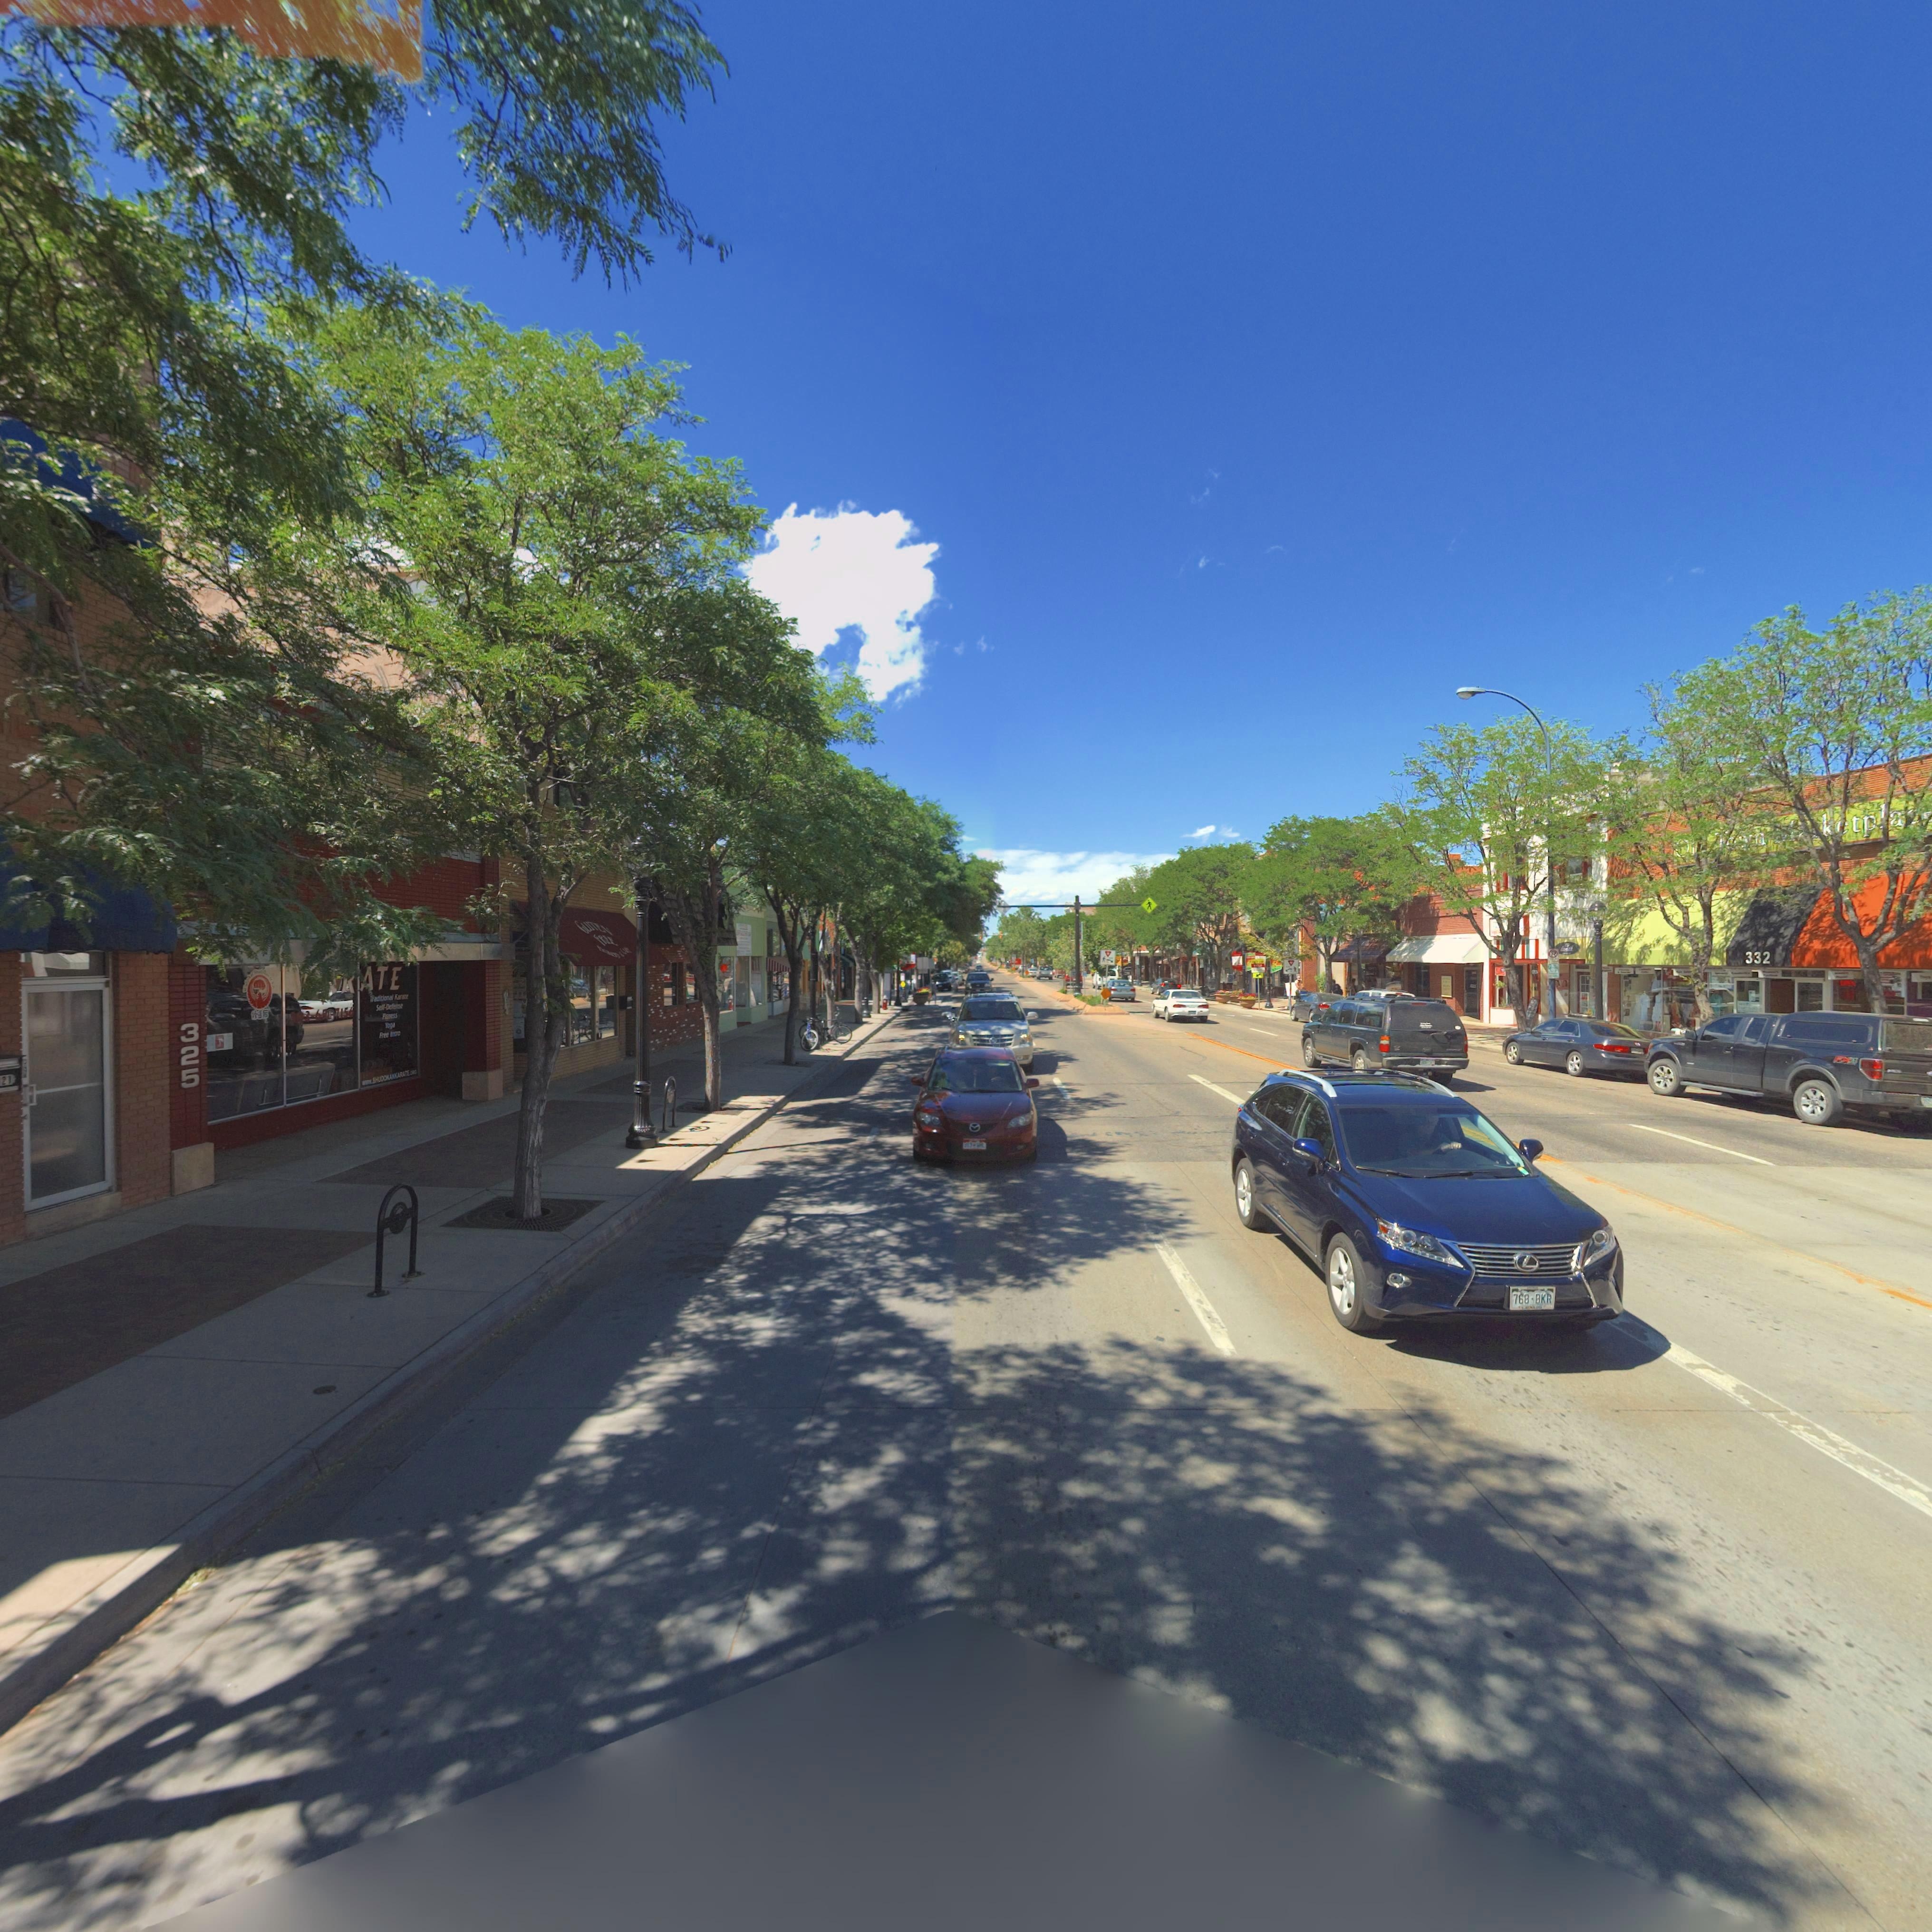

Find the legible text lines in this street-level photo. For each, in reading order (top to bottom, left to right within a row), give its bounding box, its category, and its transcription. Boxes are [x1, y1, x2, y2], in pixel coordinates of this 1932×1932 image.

[1673, 802, 1923, 858] BusinessName: O** ***n ***k*tpla**
[1745, 950, 1770, 965] StreetNumber: 332
[292, 964, 402, 996] BusinessName: **RATE
[180, 1022, 200, 1089] StreetNumber: 325
[1, 1074, 11, 1085] StreetNumber: 21